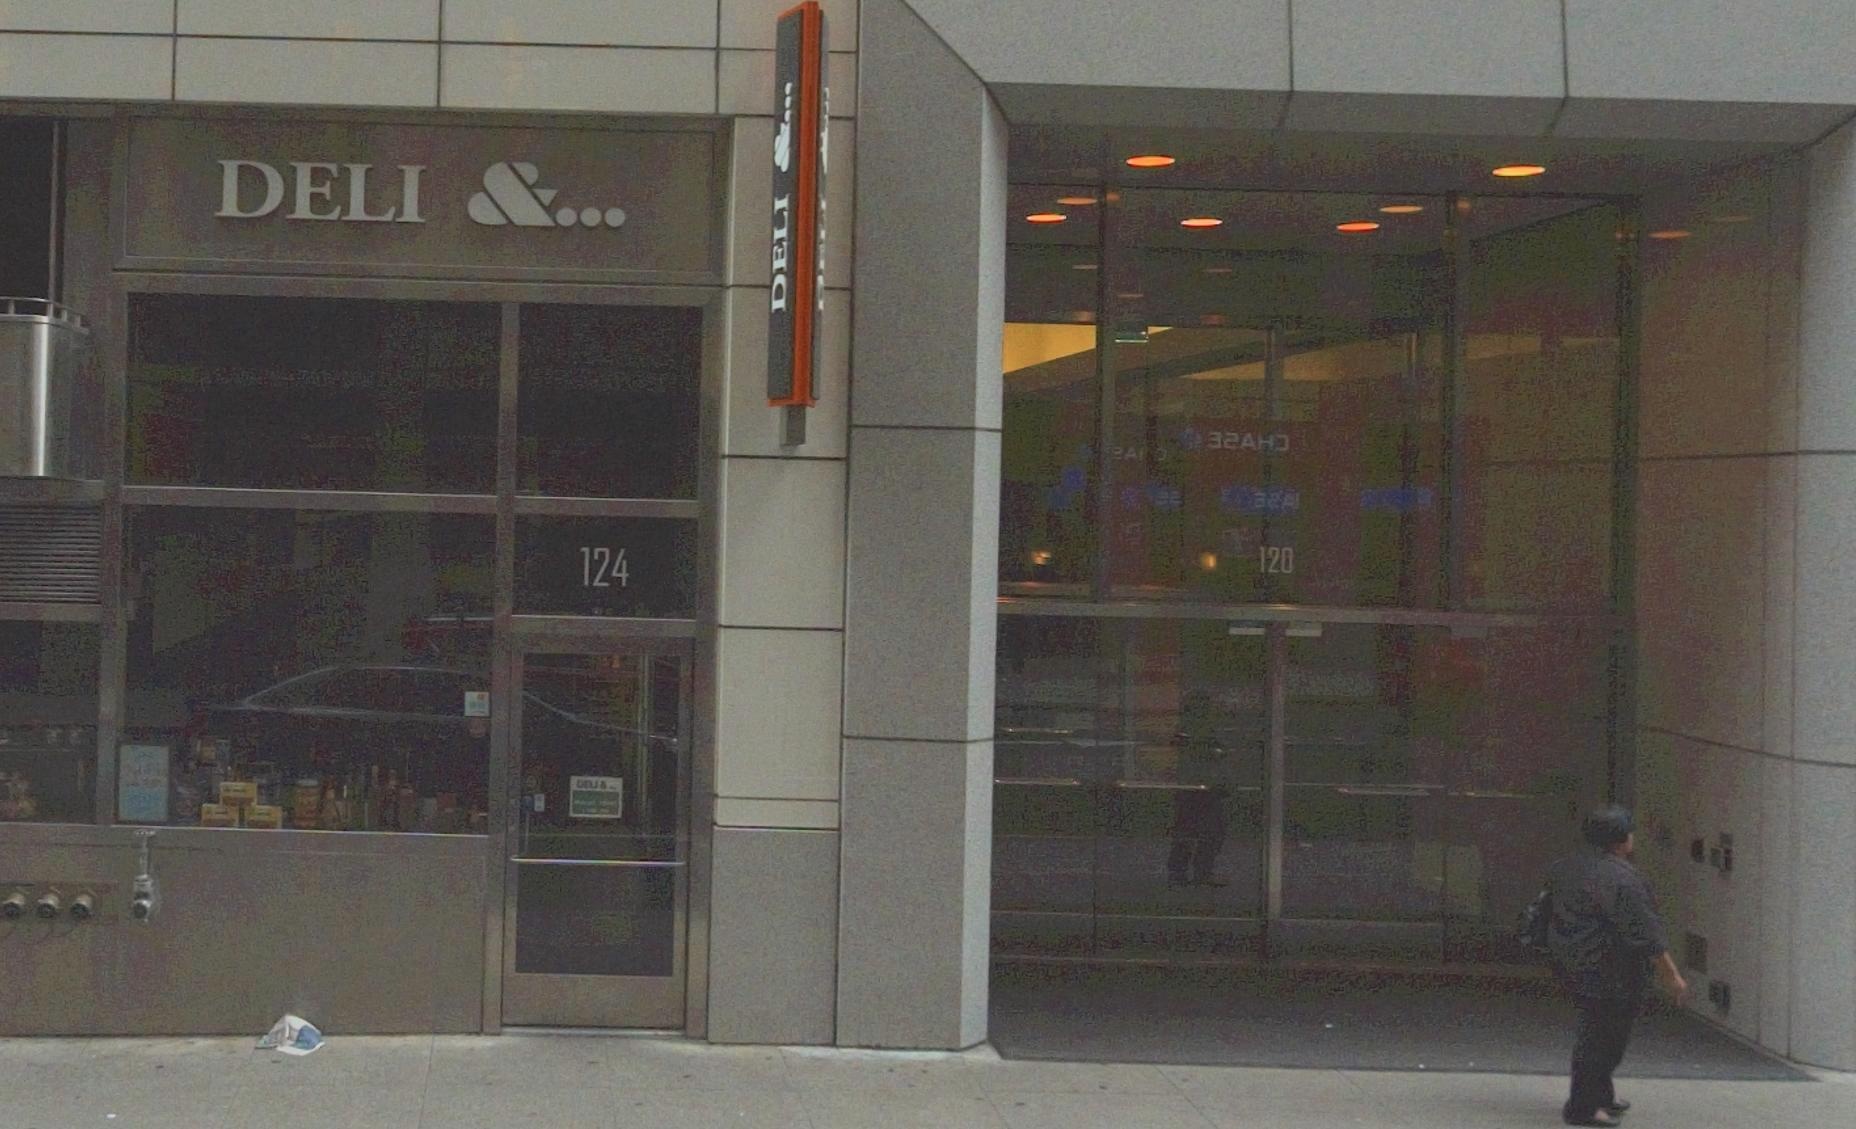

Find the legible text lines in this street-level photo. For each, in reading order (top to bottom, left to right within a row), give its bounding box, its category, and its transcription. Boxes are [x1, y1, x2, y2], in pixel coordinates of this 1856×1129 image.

[213, 158, 628, 230] BusinessName: DELI &...
[770, 80, 794, 316] BusinessName: DELI &...
[1207, 429, 1291, 453] None: **AH*
[578, 543, 630, 590] StreetNumber: 124
[1256, 544, 1296, 574] StreetNumber: 120
[575, 779, 609, 790] BusinessName: DELI &